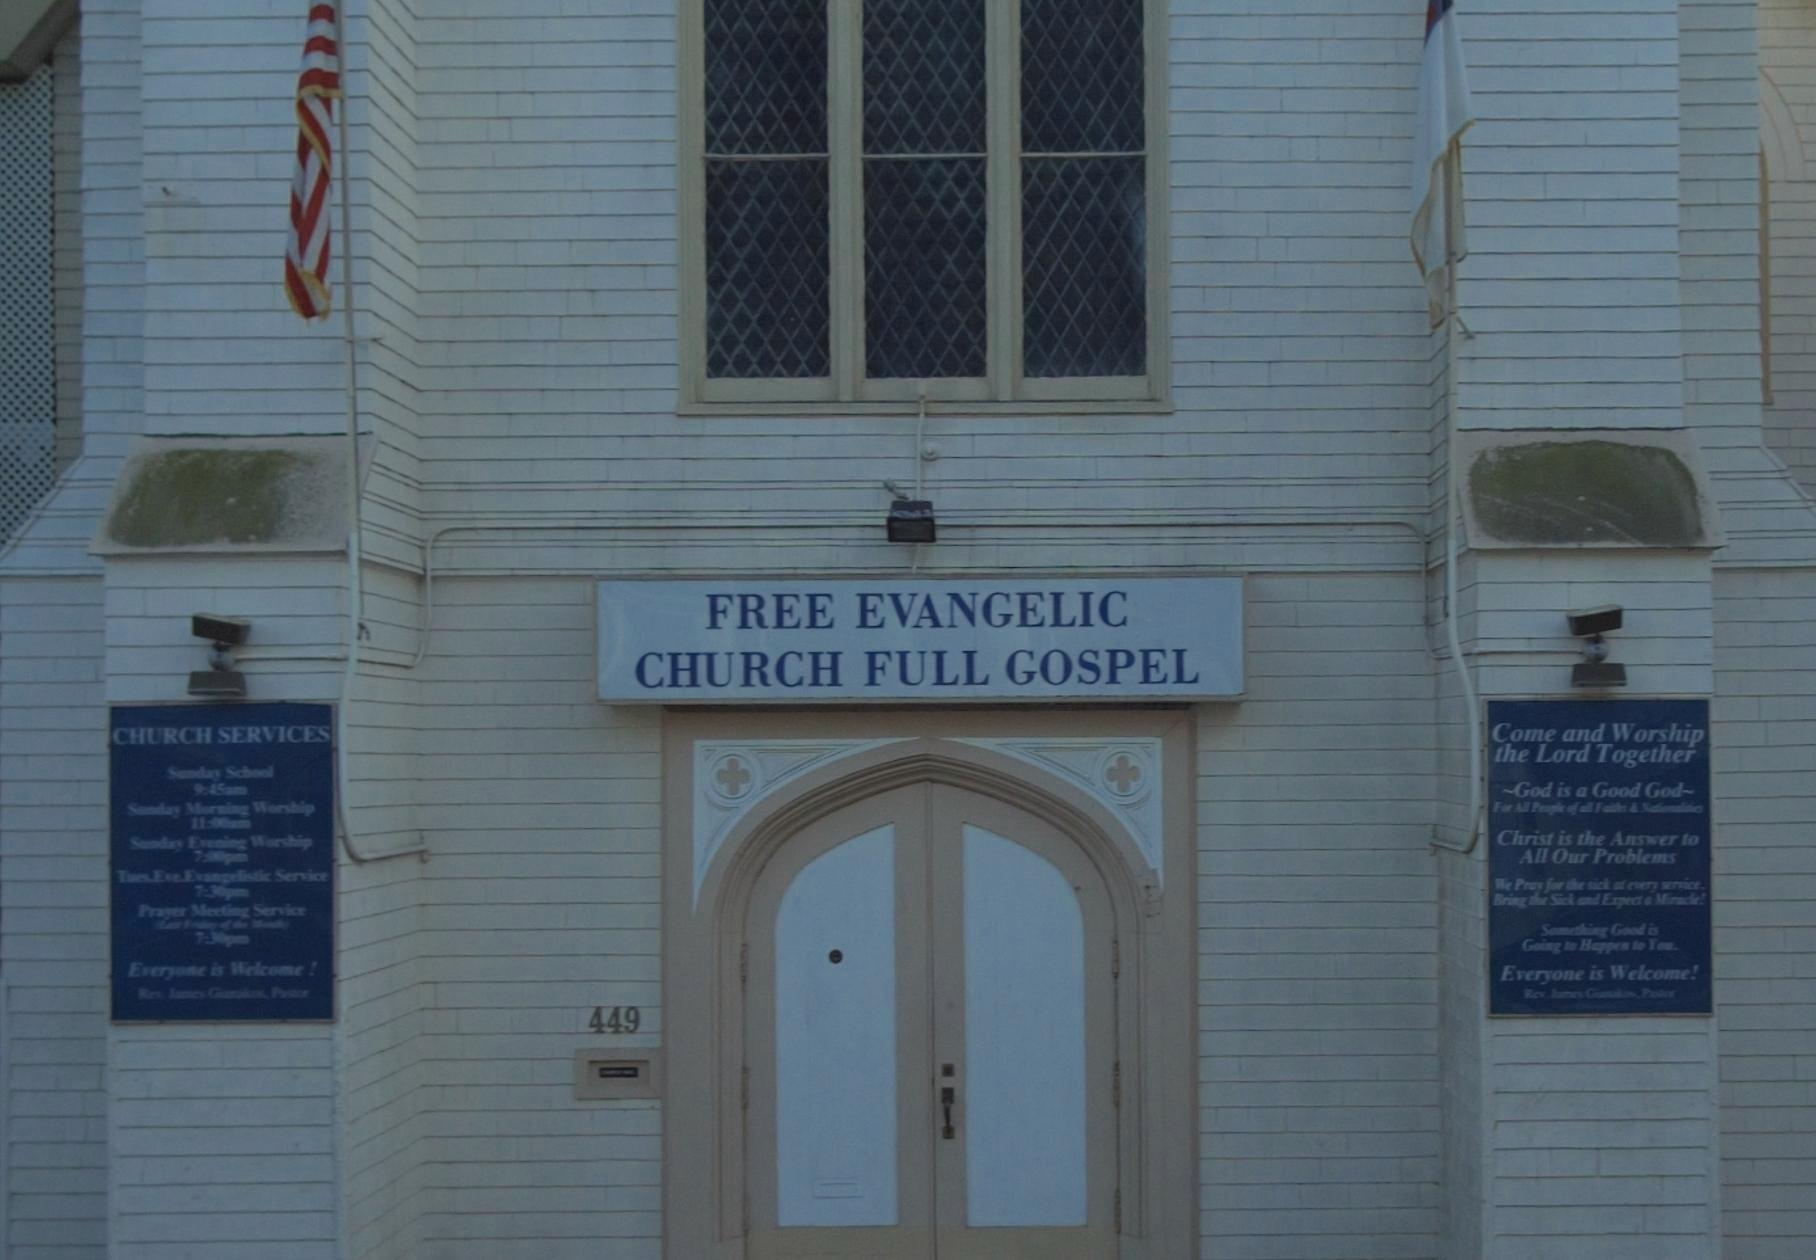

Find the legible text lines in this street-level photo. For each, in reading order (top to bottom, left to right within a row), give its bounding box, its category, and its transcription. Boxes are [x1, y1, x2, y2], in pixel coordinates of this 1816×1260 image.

[699, 586, 1134, 634] BusinessName: FREE EVANGELIC
[628, 643, 1204, 693] BusinessName: CHURCH FULL GOSPEL
[108, 721, 335, 749] None: CHURCH SERVICES
[1486, 719, 1709, 751] None: Come and Worship
[1490, 740, 1700, 773] None: the Lord Together
[163, 760, 278, 784] None: Sunday School
[190, 778, 251, 799] None: 9:45am
[1509, 777, 1688, 801] None: God is a Good God
[123, 797, 320, 822] None: Sunday Morning Worship
[1486, 797, 1708, 818] None: For All People of all Faiths & Nationalities
[188, 813, 254, 833] None: 11:00am
[127, 831, 315, 855] None: Sunday Evening Worship
[1492, 825, 1704, 850] None: Christ is the Answer to
[191, 846, 251, 869] None: 7:00pm
[1513, 845, 1682, 869] None: All Our Problems
[112, 865, 332, 886] None: Tues. Eve Evangelistic Service
[191, 882, 254, 904] None: 7:30pm
[135, 900, 311, 922] None: Prayer Meeting Service
[1488, 890, 1709, 913] None: Bring the Sick and Expect a Miracle!
[1491, 874, 1707, 896] None: We Pray for the sick at every service.
[192, 927, 253, 950] None: 7:30pm
[1518, 935, 1681, 957] None: Going to Happen to You
[1537, 918, 1663, 942] None: Something Good is
[121, 957, 321, 985] None: Everyone is Welcome!
[1494, 960, 1704, 988] None: Everyone is Welcome!
[582, 1003, 643, 1038] StreetNumber: 449